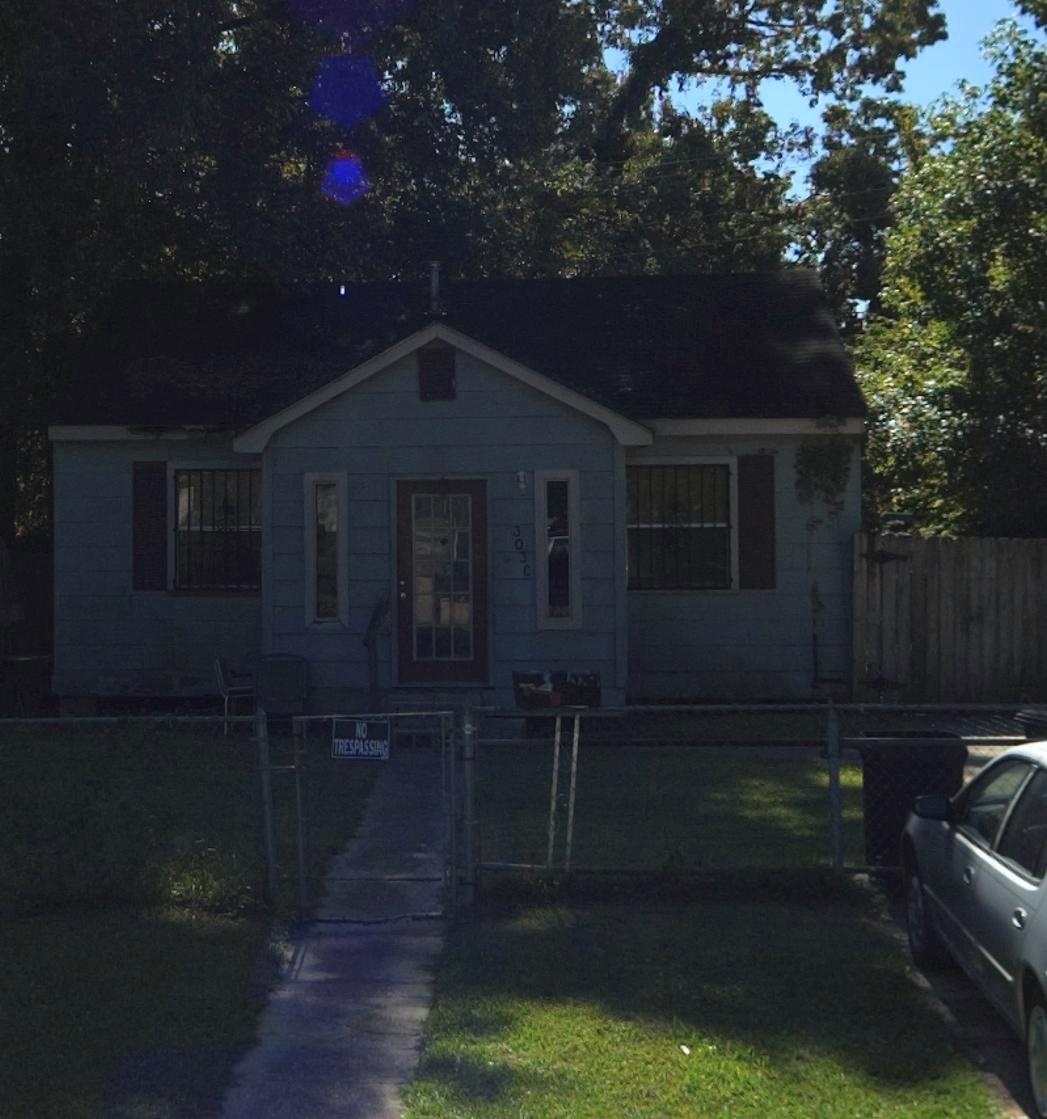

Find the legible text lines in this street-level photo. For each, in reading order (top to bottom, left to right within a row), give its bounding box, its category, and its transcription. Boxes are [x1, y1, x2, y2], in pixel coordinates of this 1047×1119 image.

[511, 525, 533, 578] StreetNumber: 3030
[354, 719, 369, 739] None: NO
[332, 737, 389, 757] None: TRESPASSING